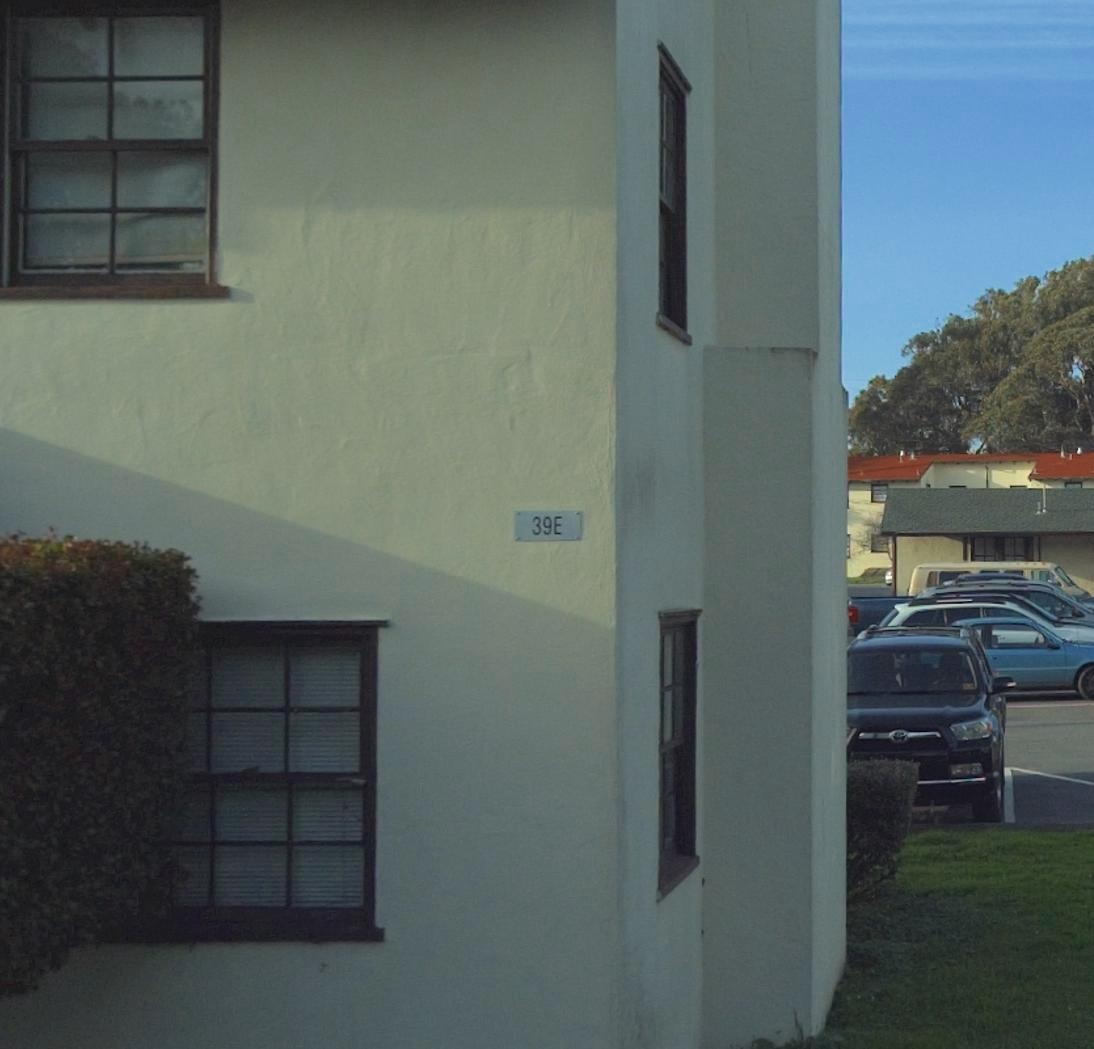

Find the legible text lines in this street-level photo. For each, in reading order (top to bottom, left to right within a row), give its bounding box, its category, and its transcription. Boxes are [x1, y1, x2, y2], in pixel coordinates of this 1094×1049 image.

[530, 513, 564, 538] StreetNumber: 39E